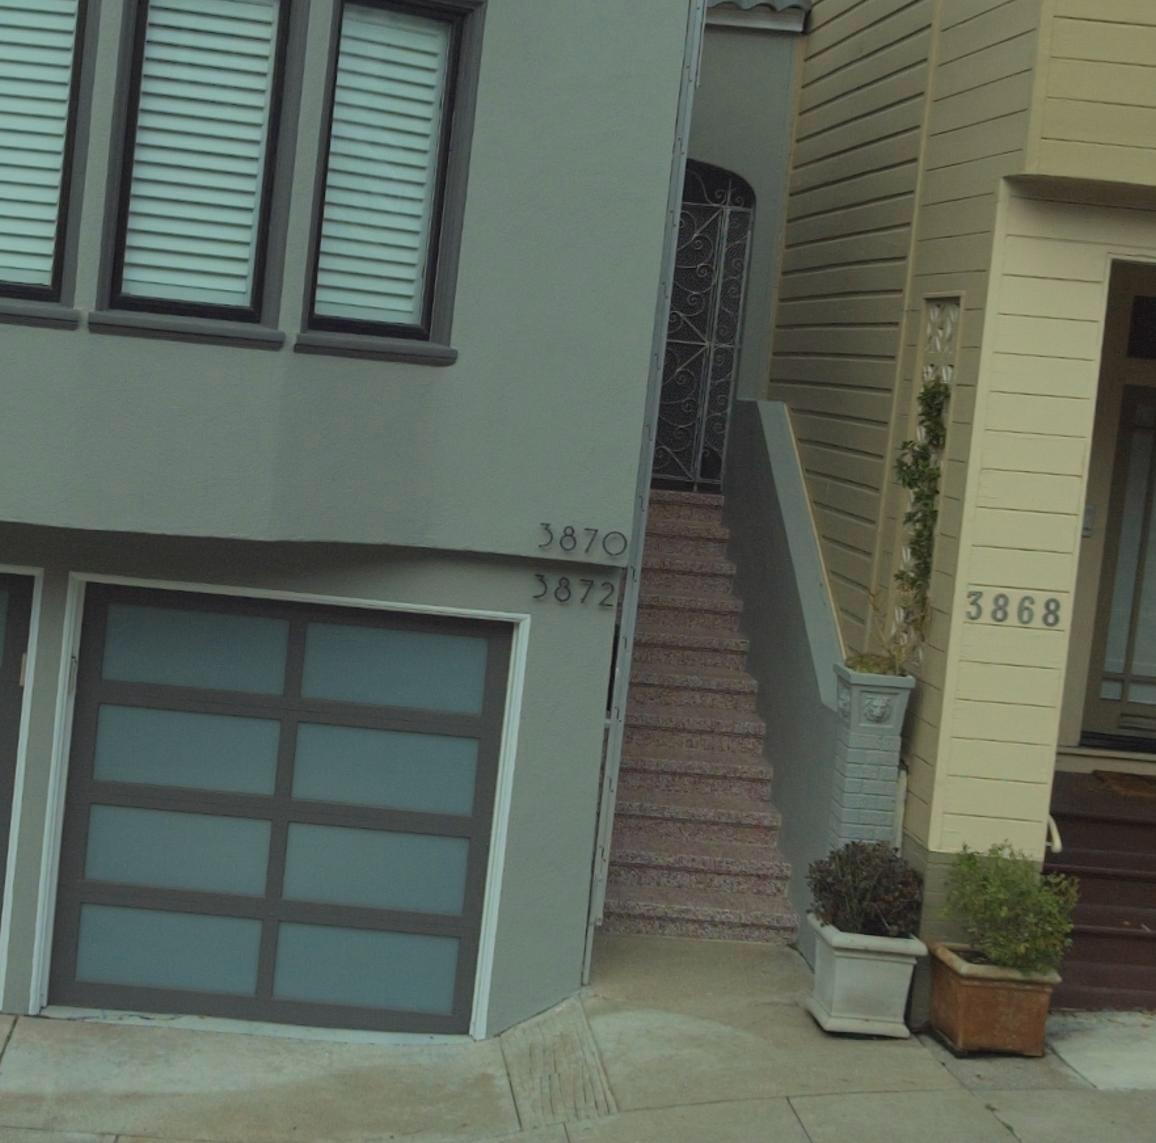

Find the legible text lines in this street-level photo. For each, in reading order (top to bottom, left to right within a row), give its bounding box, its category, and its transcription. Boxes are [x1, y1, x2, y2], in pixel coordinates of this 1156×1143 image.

[537, 522, 630, 559] StreetNumber: 3870
[529, 571, 617, 609] StreetNumber: 3872
[965, 588, 1064, 629] StreetNumber: 3868